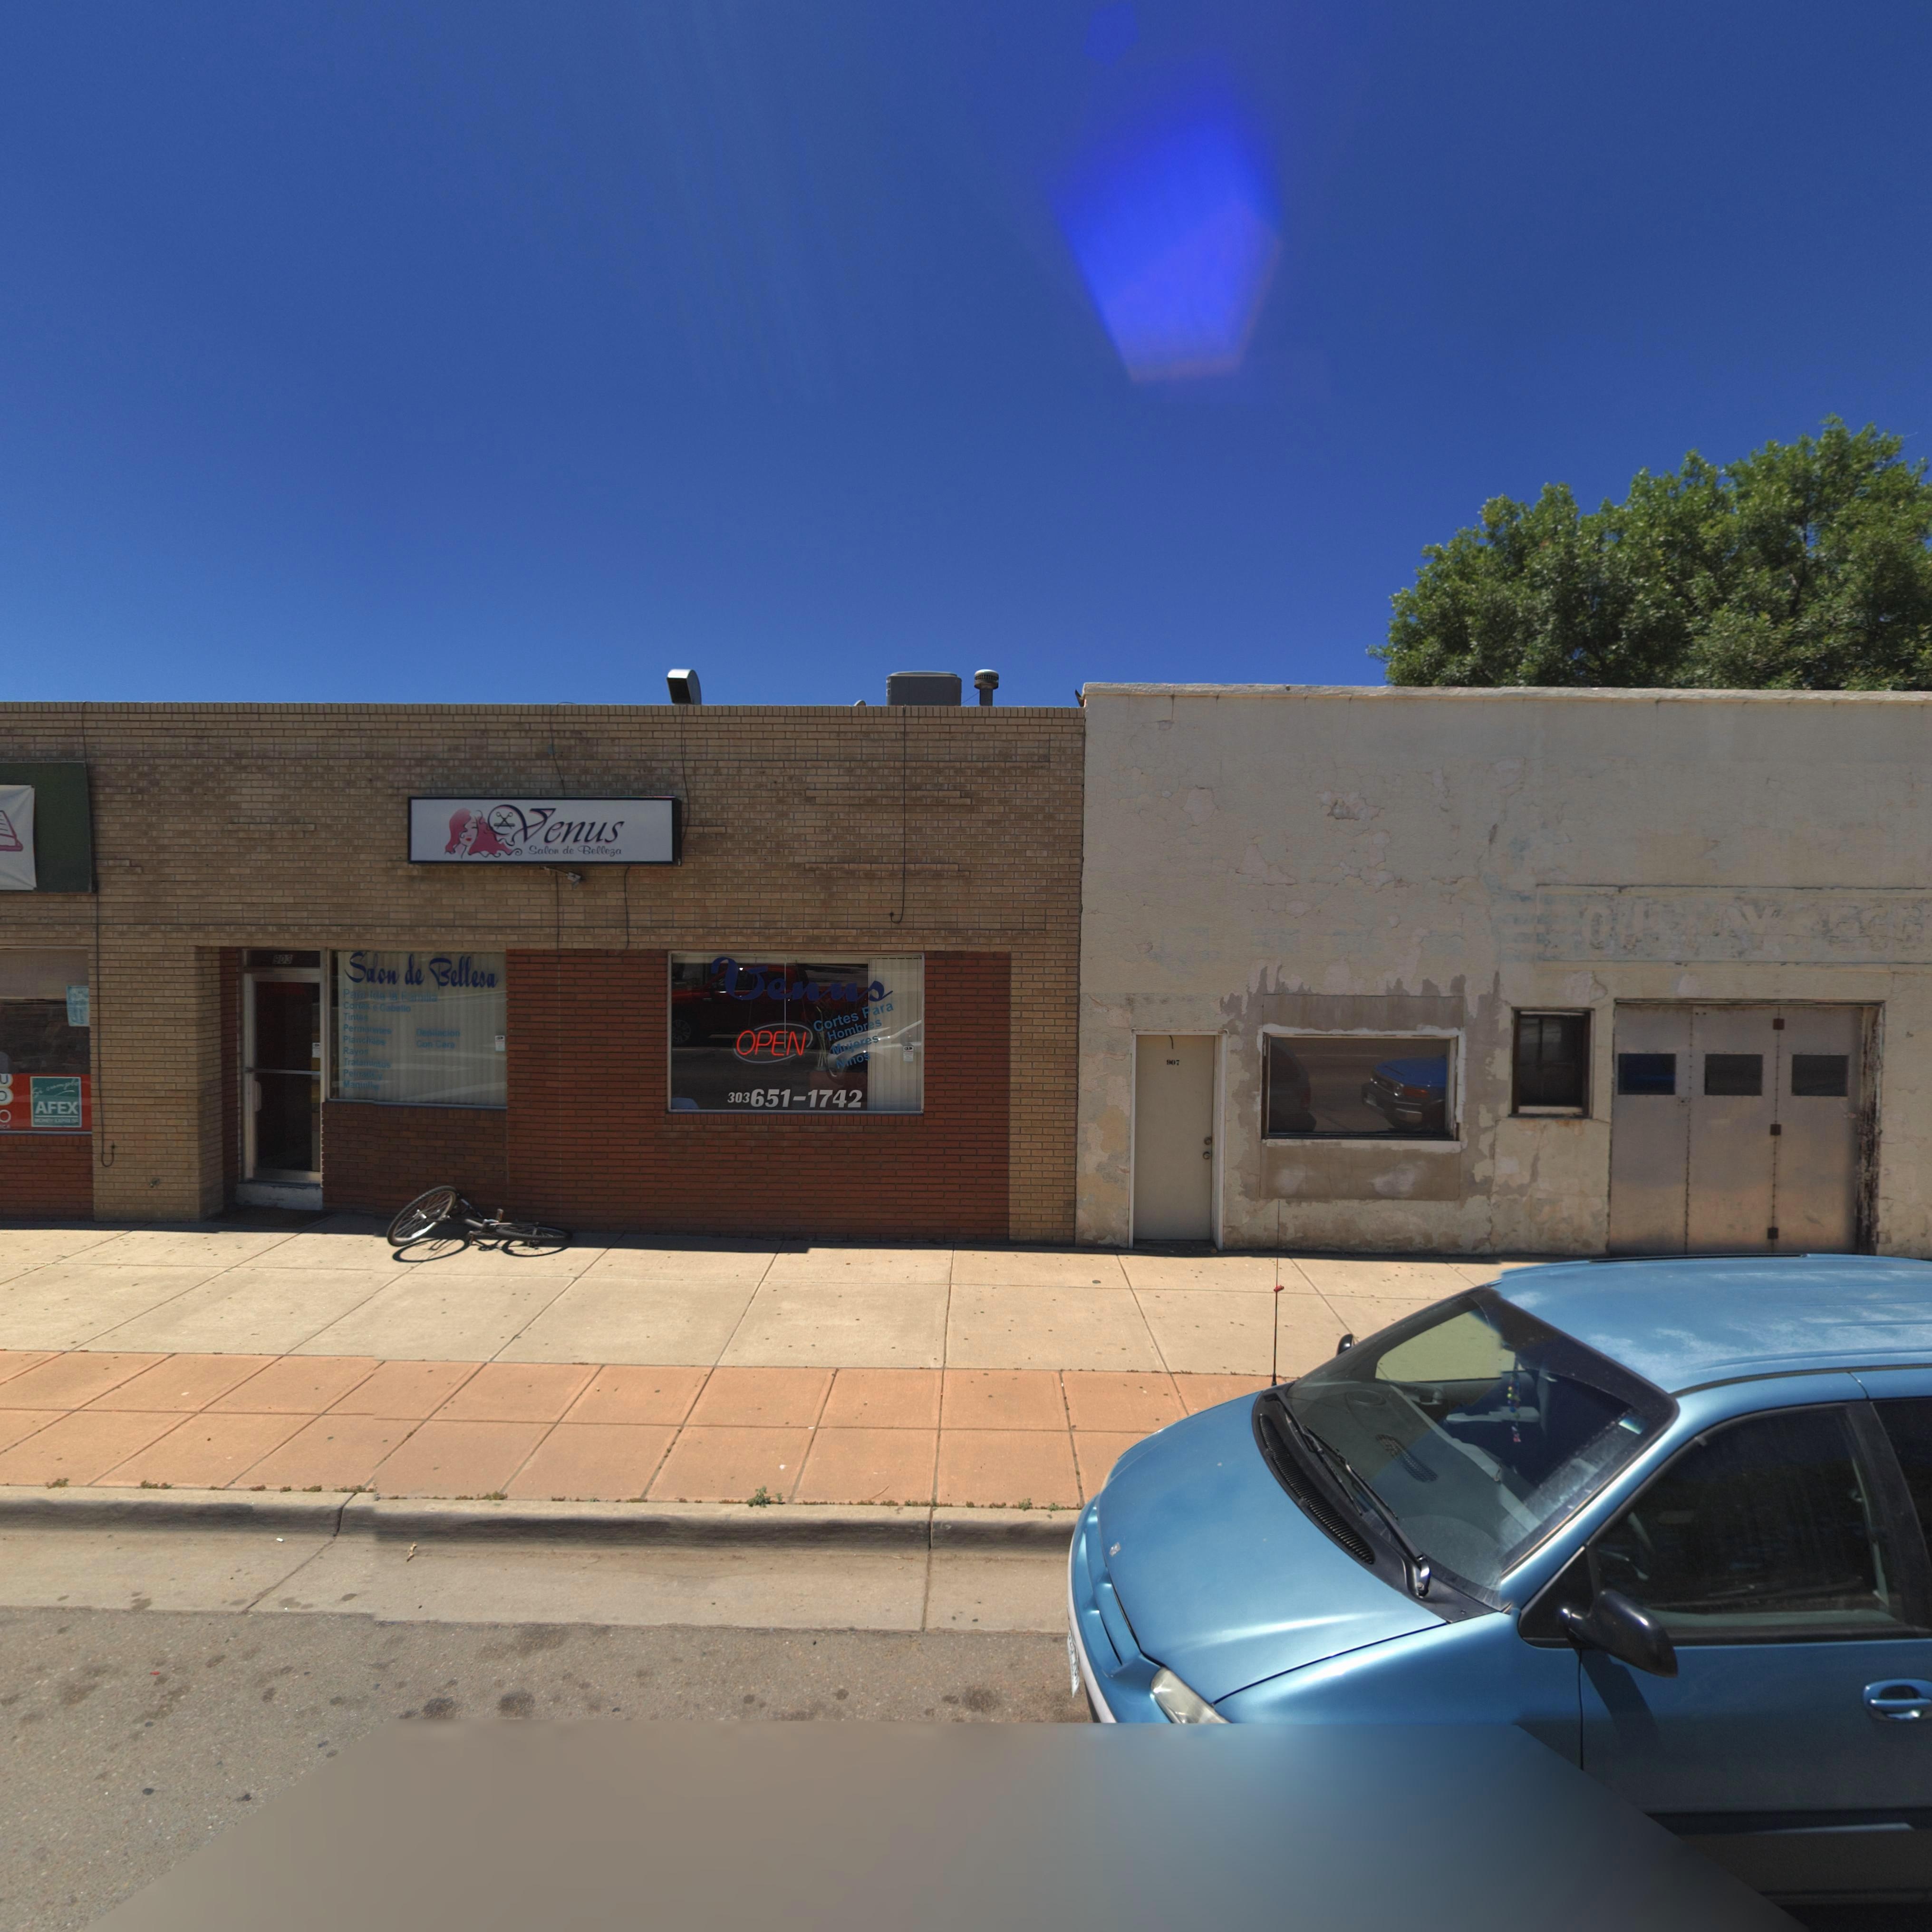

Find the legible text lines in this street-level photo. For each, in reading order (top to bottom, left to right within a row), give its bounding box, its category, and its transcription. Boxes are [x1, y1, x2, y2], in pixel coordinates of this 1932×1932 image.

[484, 802, 626, 844] BusinessName: Venus
[528, 845, 621, 857] BusinessName: Salon de Belleza
[273, 955, 291, 964] StreetNumber: 903
[343, 950, 499, 990] BusinessName: Salon de Bellesa
[710, 956, 894, 1002] BusinessName: Venus
[1166, 1059, 1179, 1066] StreetNumber: 907